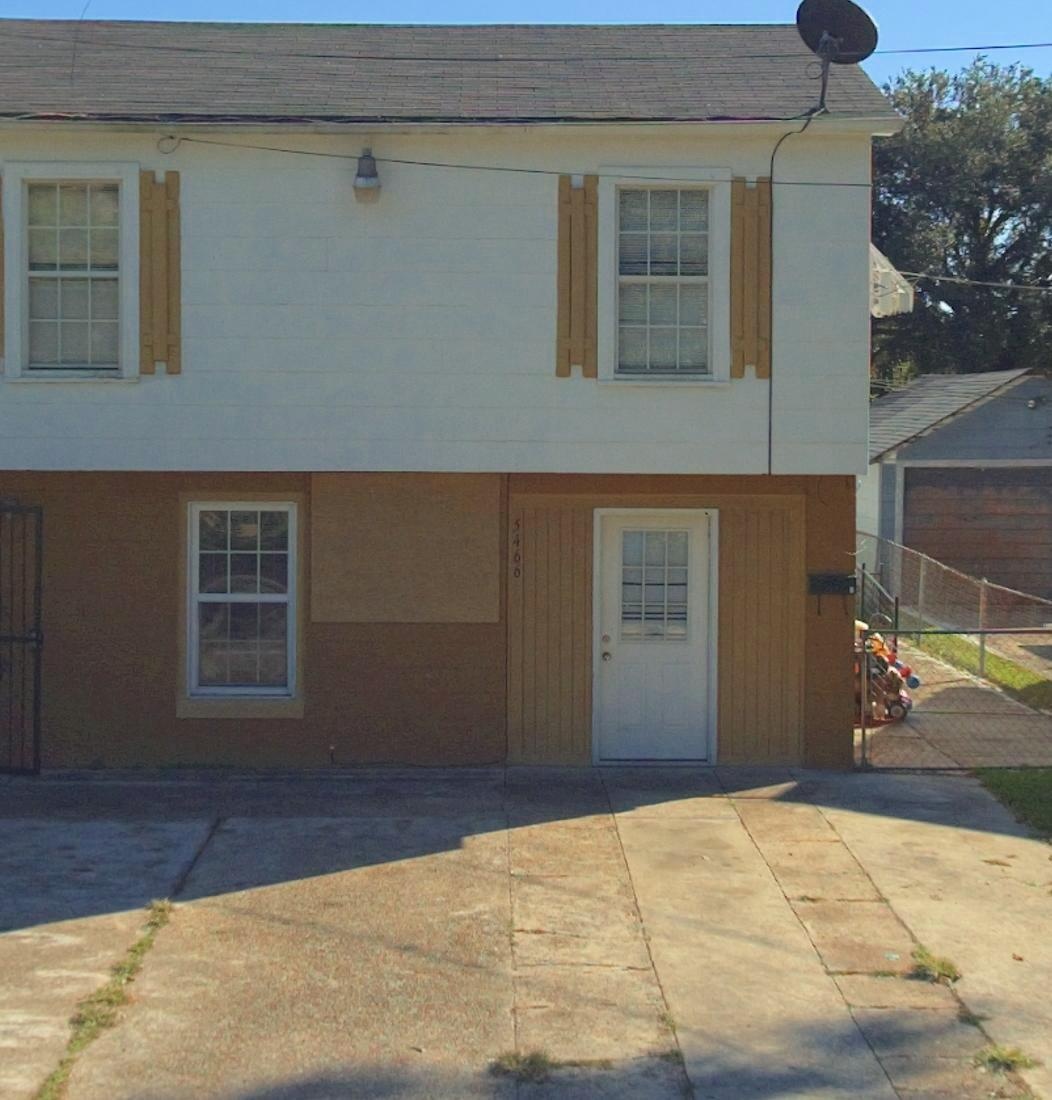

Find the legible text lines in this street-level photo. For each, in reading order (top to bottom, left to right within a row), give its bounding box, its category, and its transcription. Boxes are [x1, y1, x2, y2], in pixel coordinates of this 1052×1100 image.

[511, 517, 522, 579] StreetNumber: 5466